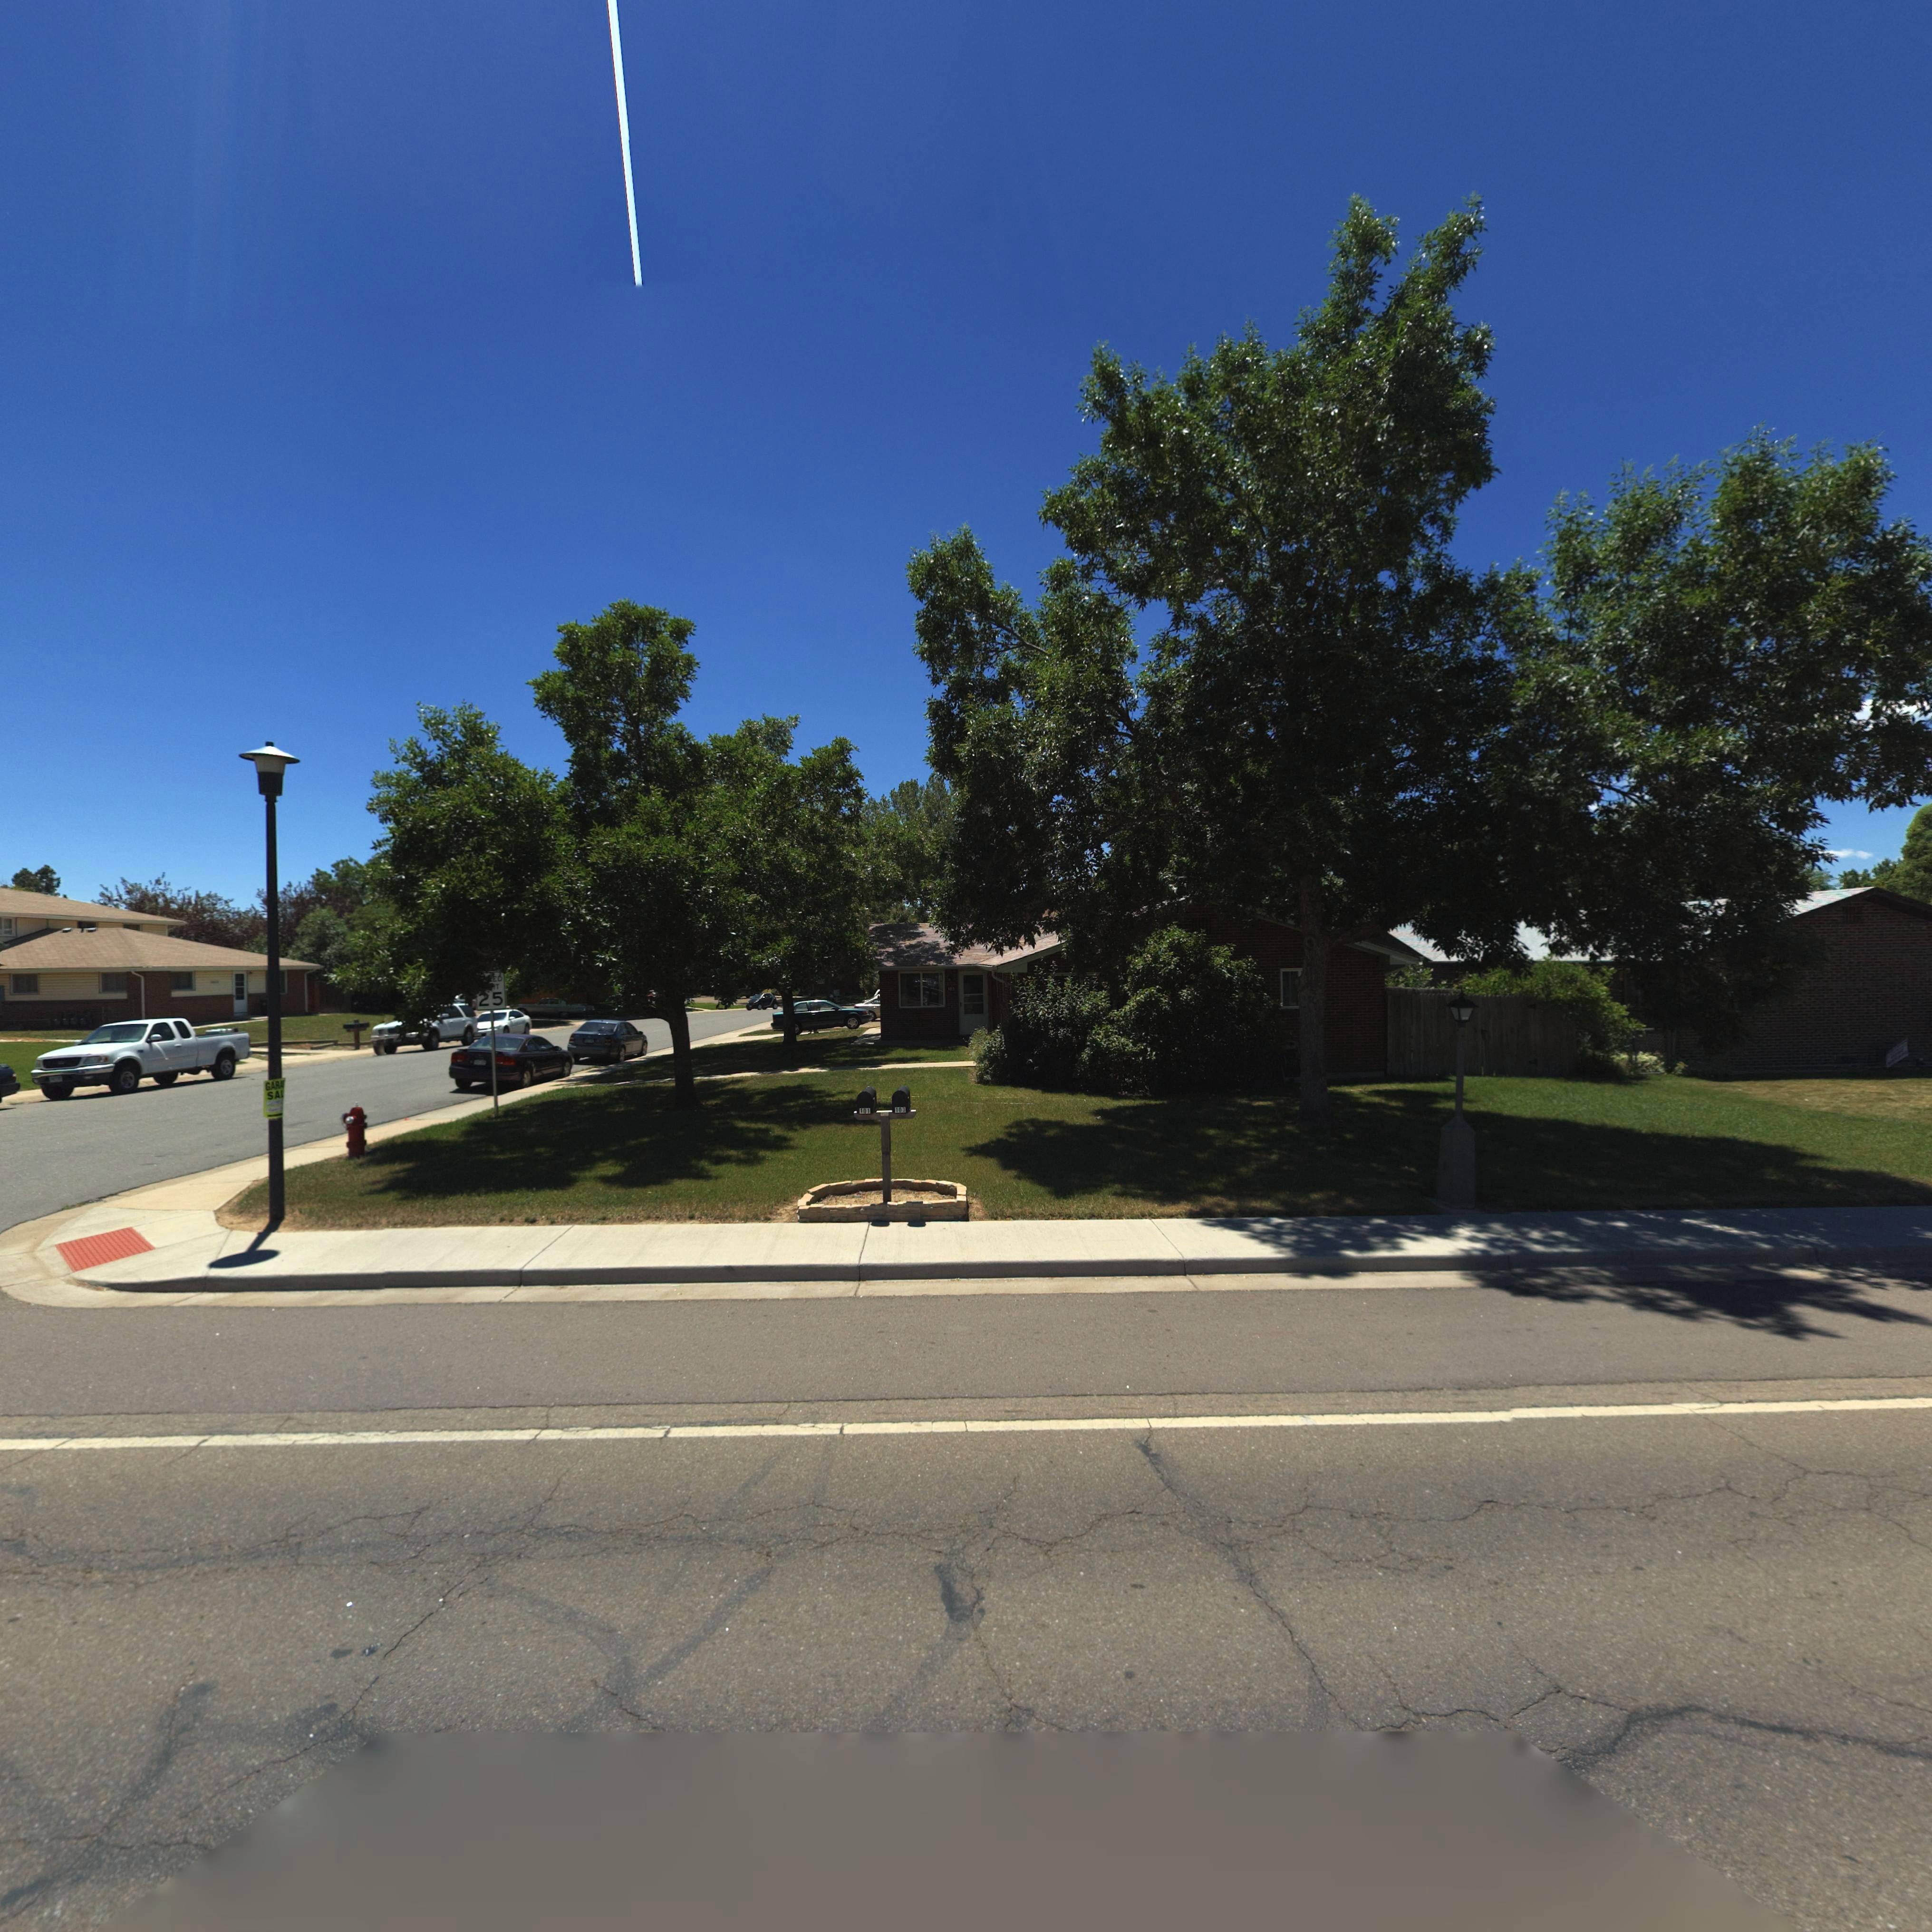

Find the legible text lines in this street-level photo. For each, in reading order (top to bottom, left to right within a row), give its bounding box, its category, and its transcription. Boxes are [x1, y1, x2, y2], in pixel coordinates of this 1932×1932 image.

[948, 987, 954, 991] StreetNumber: 103
[860, 1108, 869, 1113] StreetNumber: 101
[896, 1107, 905, 1112] StreetNumber: 103